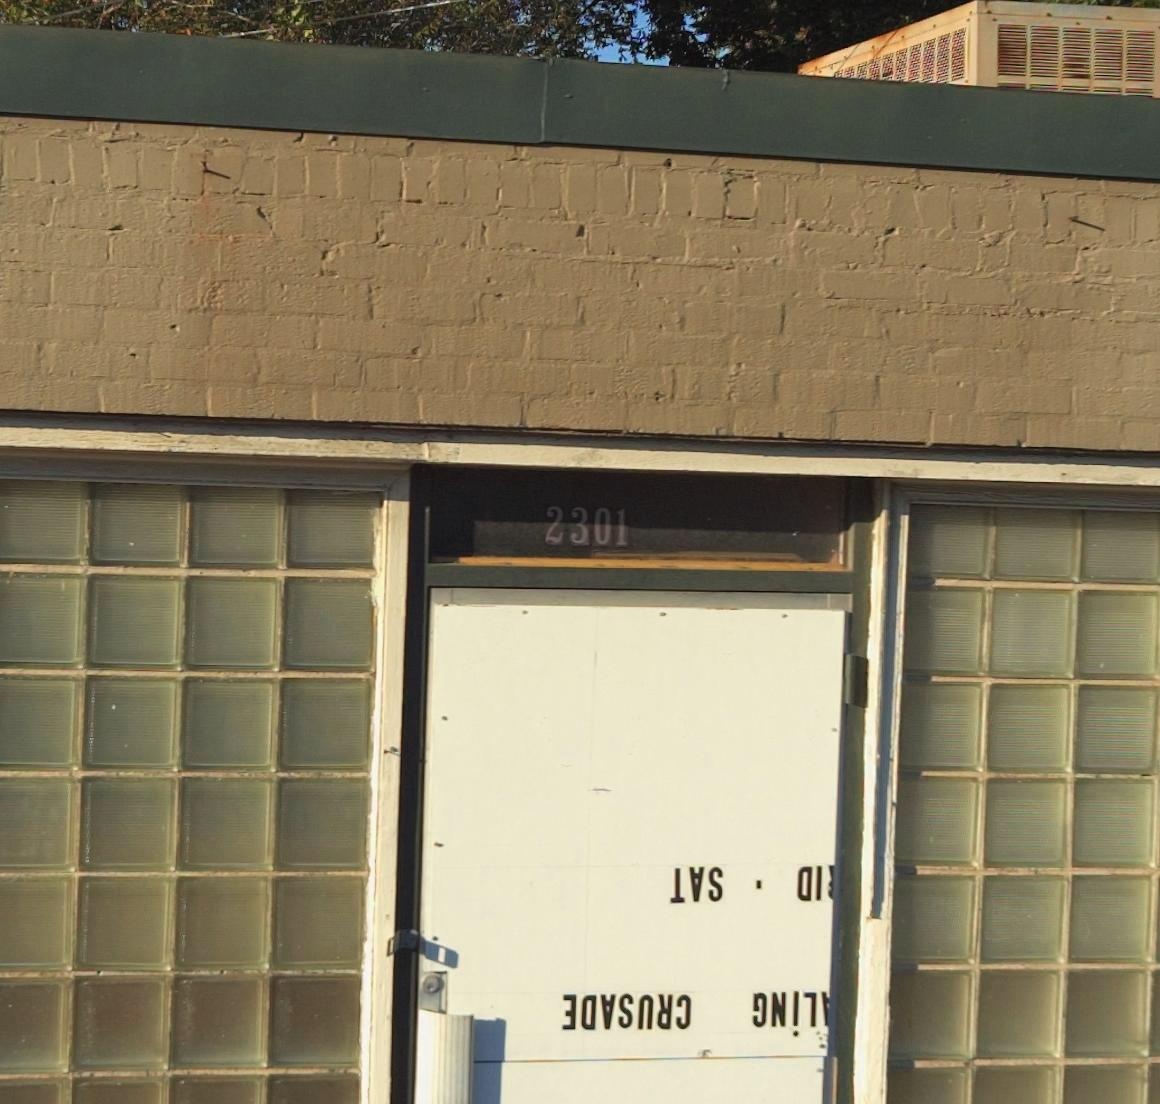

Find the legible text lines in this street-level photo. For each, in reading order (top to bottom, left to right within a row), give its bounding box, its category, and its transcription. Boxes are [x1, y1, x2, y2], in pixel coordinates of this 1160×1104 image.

[542, 503, 631, 548] StreetNumber: 2301